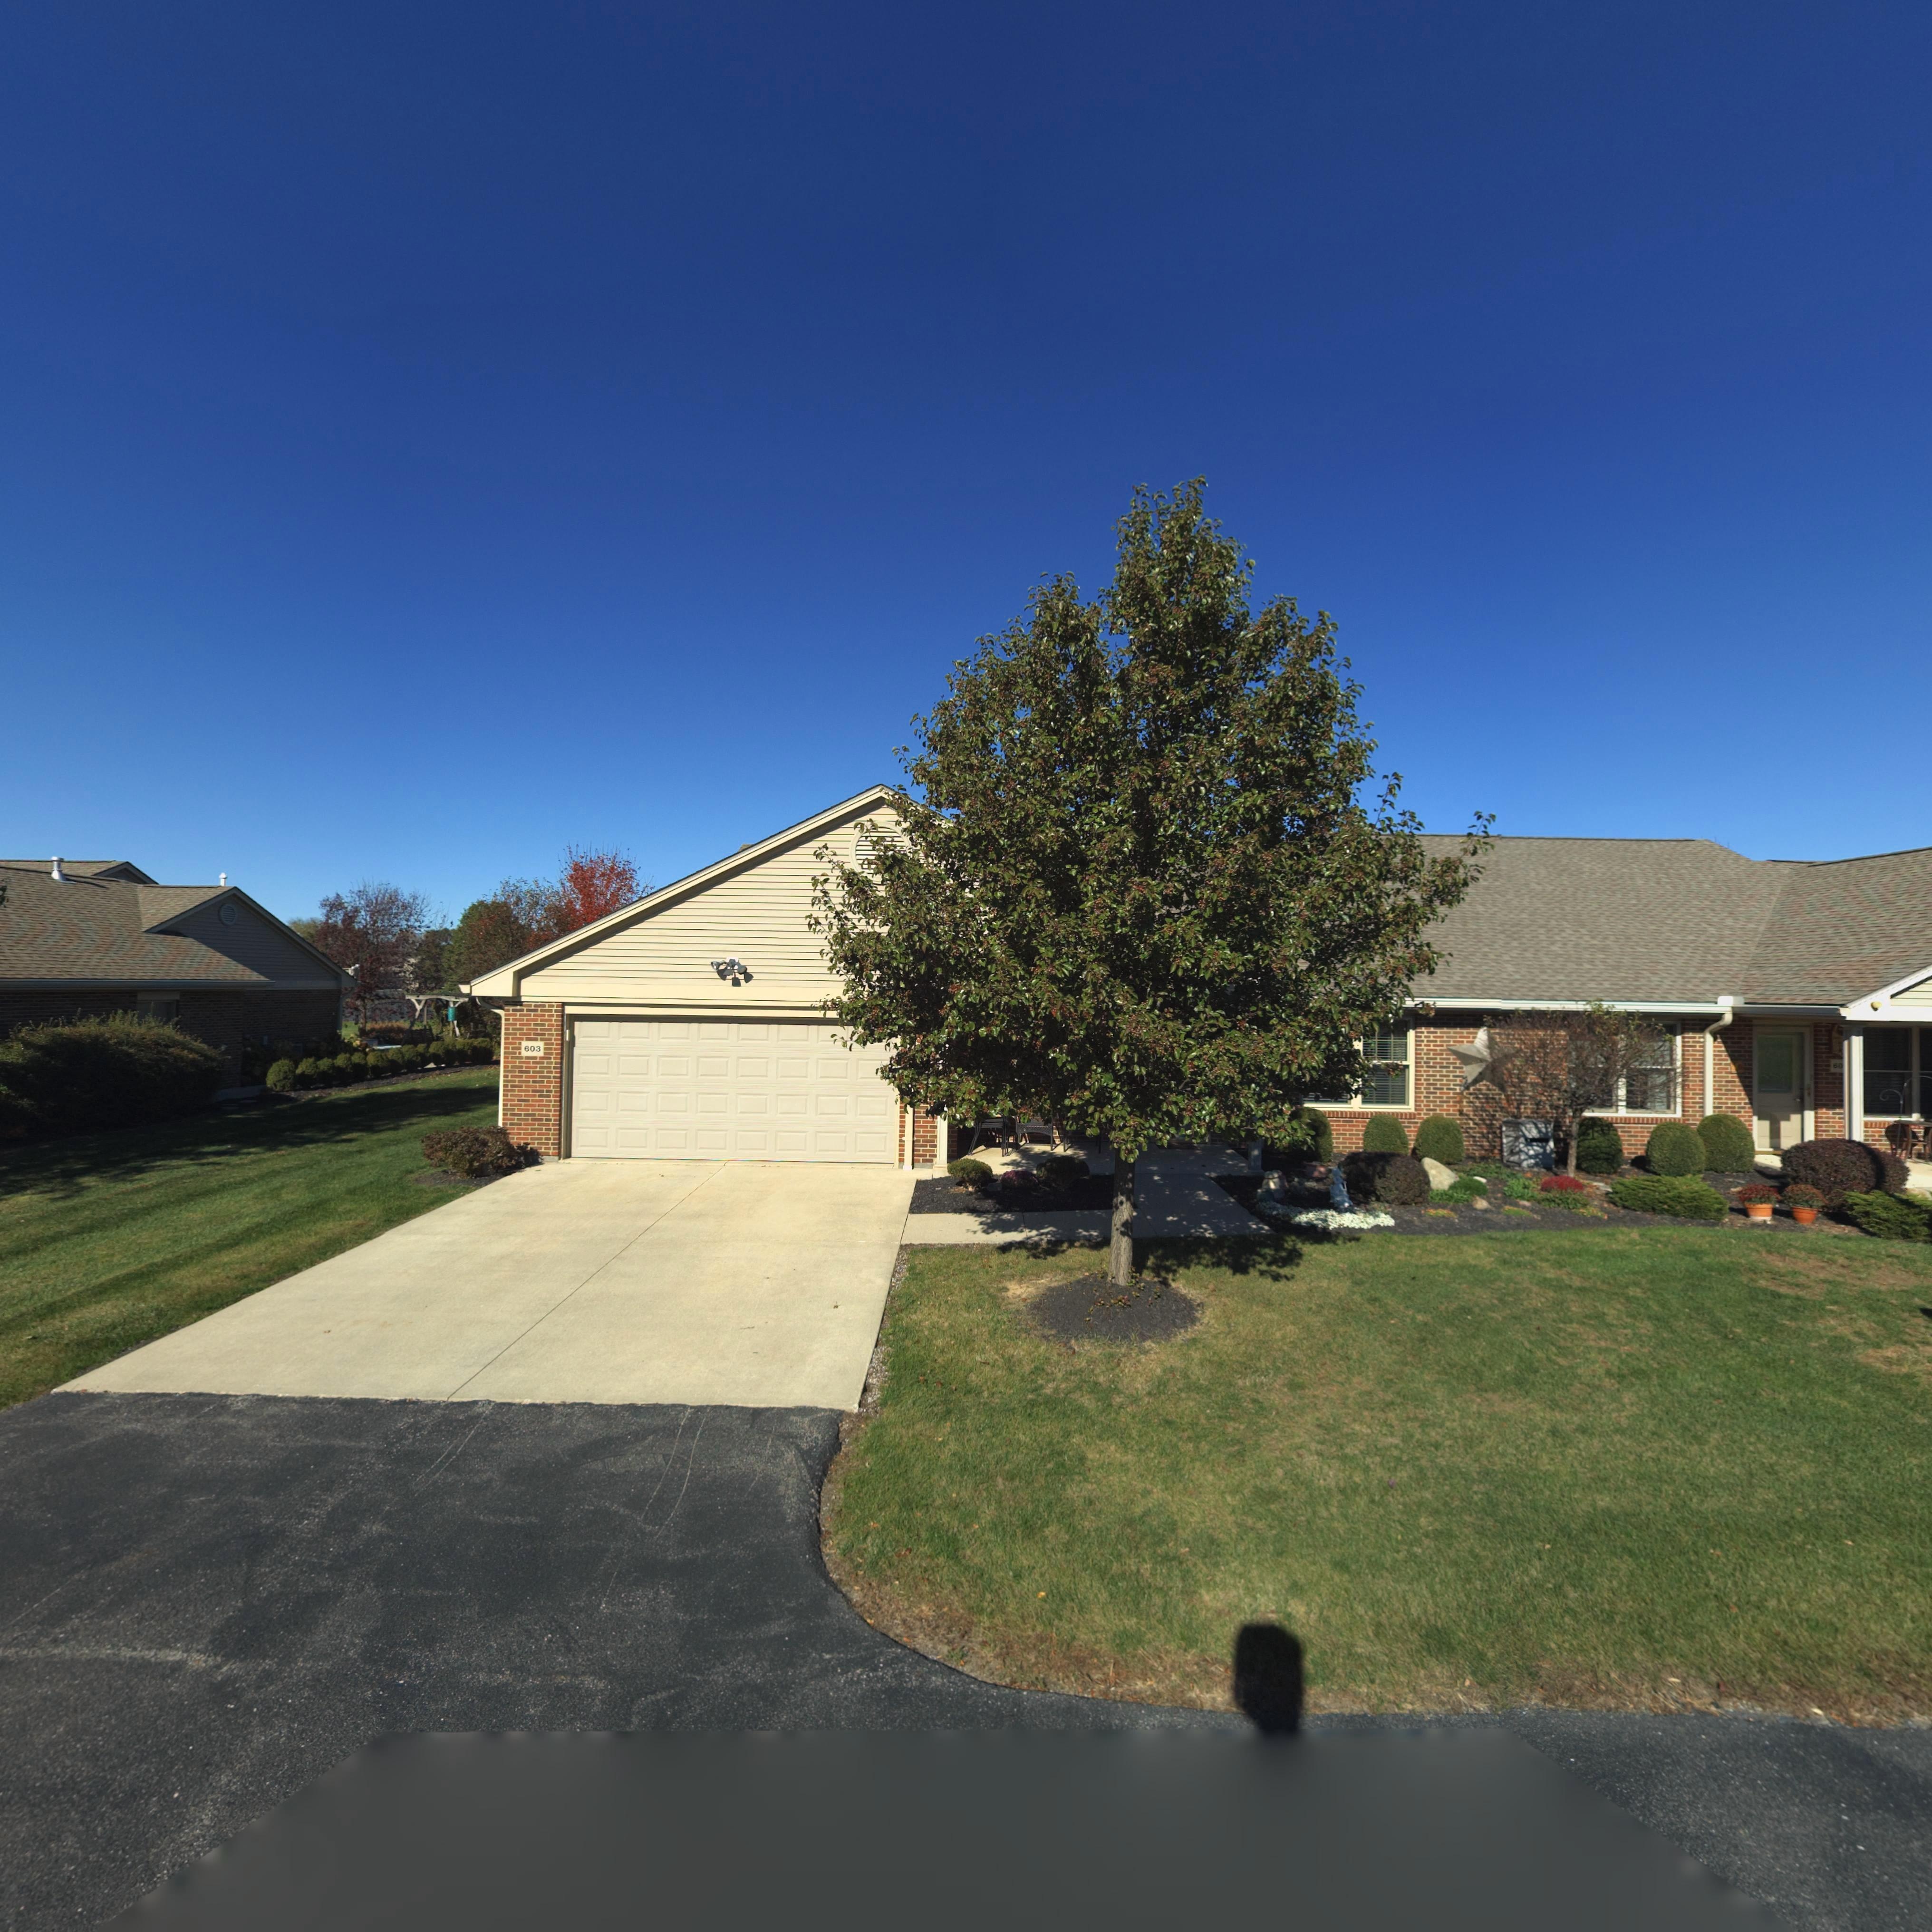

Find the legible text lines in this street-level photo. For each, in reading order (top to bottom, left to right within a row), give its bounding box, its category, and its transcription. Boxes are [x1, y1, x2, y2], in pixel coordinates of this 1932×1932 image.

[523, 1045, 541, 1053] StreetNumber: 603
[1833, 1063, 1843, 1069] StreetNumber: 60